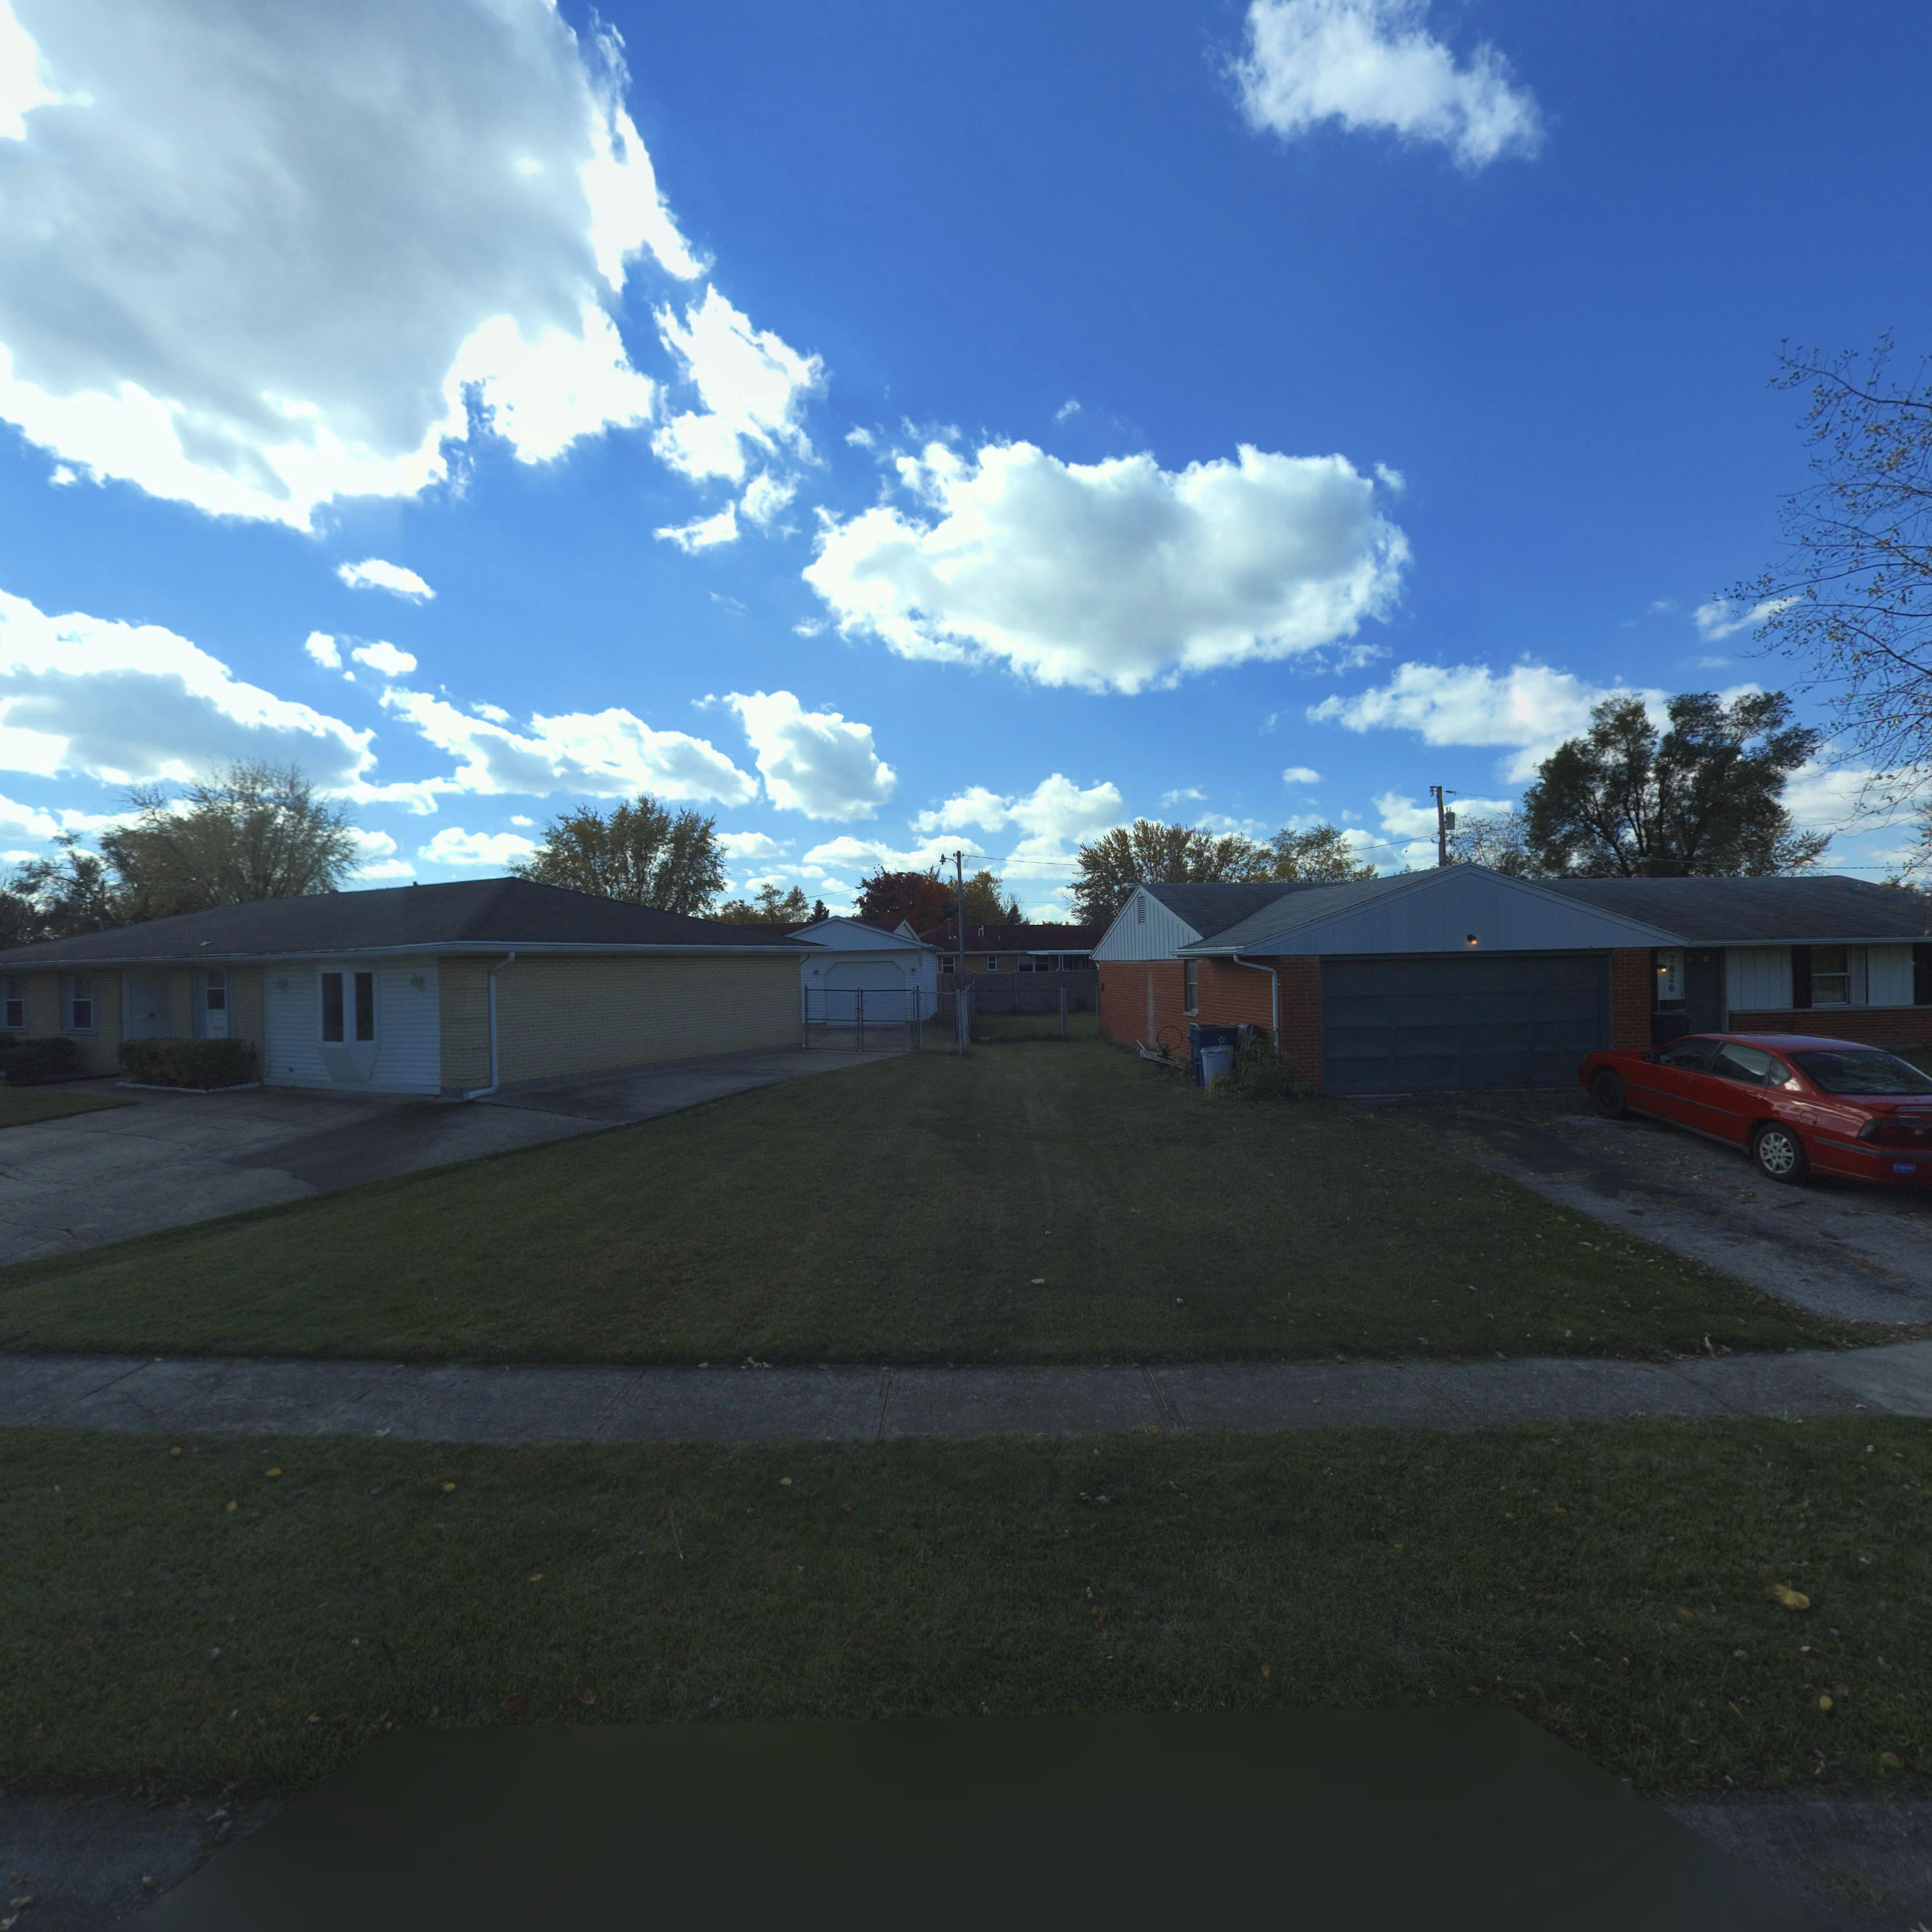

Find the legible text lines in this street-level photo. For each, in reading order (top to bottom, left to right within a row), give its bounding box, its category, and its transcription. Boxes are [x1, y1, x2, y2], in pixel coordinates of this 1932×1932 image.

[1668, 955, 1675, 993] StreetNumber: 7826